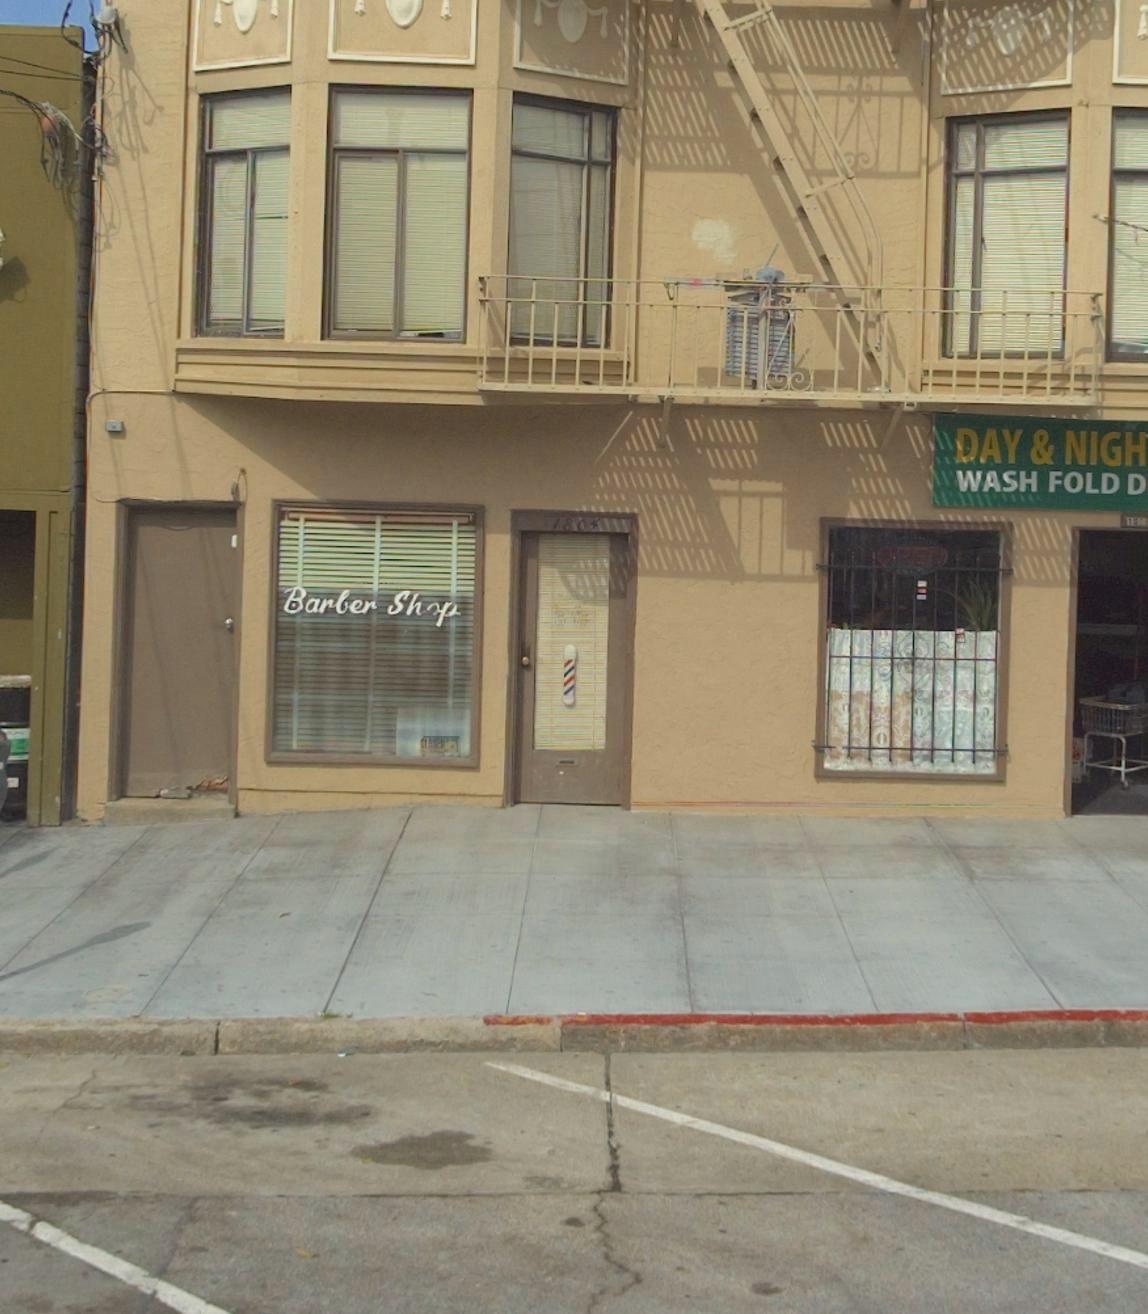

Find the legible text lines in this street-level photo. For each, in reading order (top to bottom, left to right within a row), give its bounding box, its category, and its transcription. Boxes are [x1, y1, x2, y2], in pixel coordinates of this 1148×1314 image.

[954, 427, 1146, 468] BusinessName: DAY & NIGH
[954, 469, 1147, 496] None: WASH FOLD D
[551, 517, 602, 532] StreetNumber: 1804
[1125, 517, 1145, 526] StreetNumber: 1**
[282, 585, 463, 629] None: Barber Shop